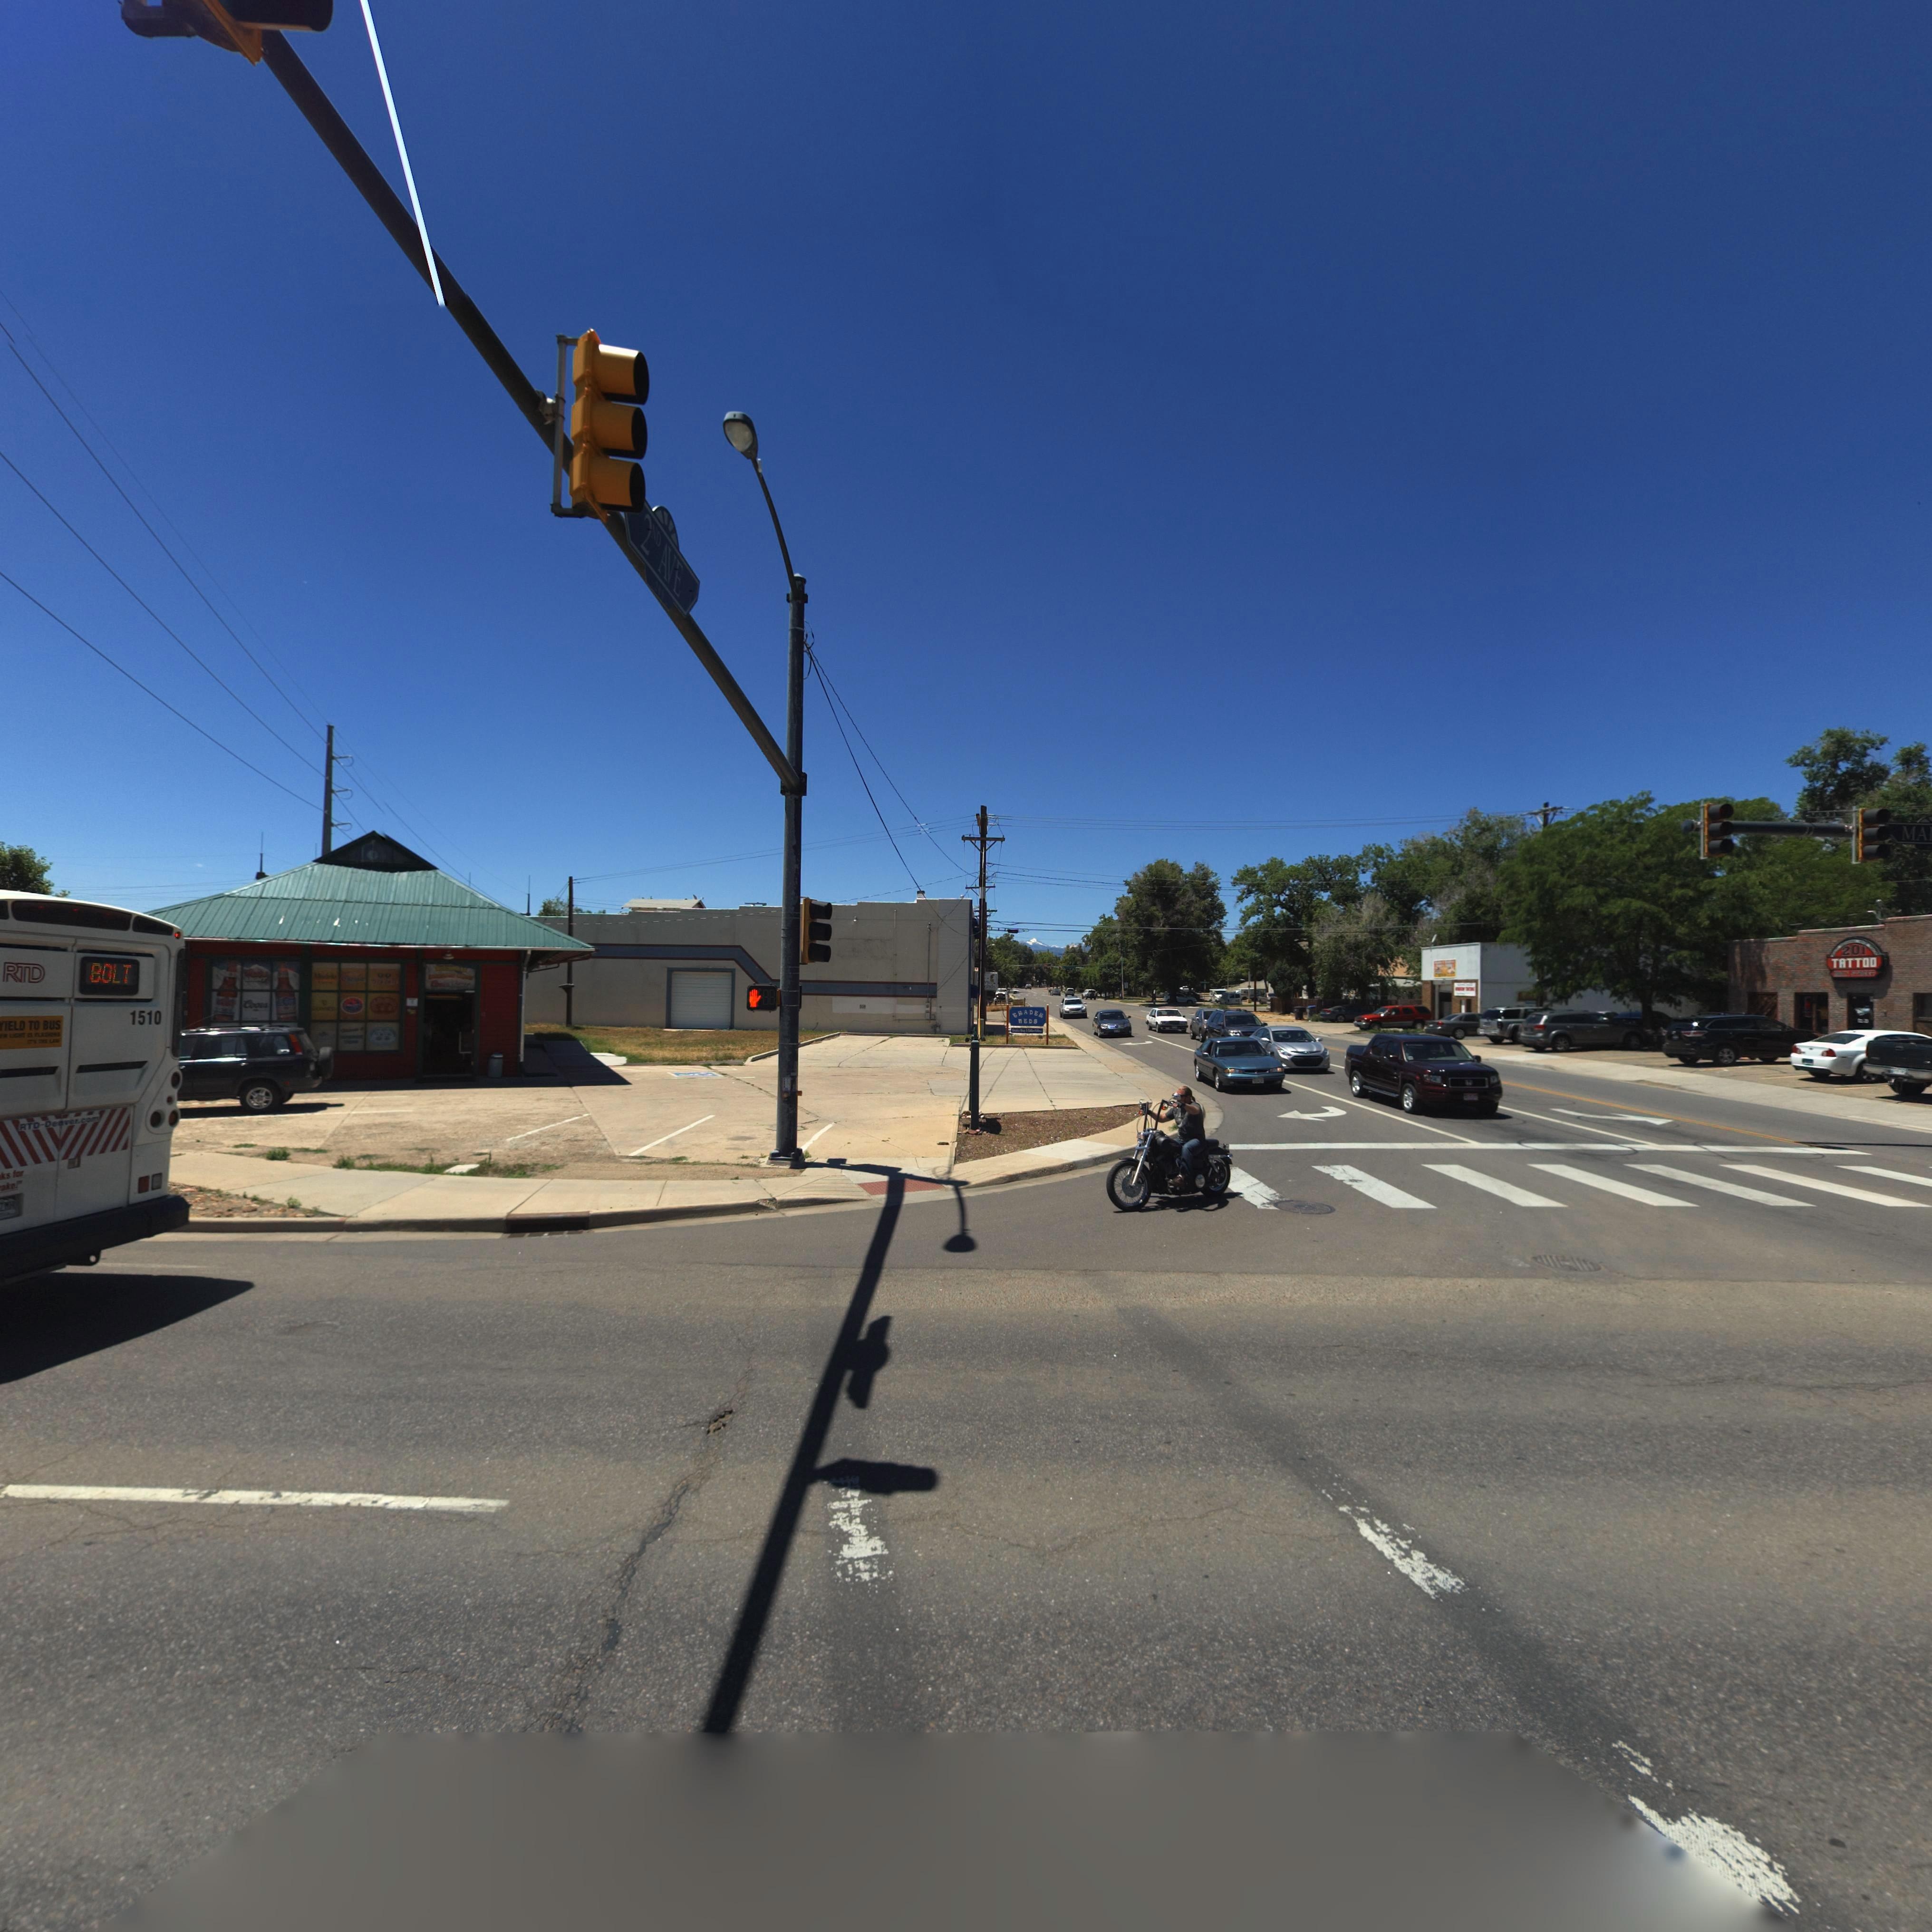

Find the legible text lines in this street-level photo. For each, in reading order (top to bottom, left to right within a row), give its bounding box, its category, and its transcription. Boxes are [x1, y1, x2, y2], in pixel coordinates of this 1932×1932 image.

[639, 512, 684, 599] StreetName: 2ND AVE
[654, 580, 665, 600] StreetNumberRange: 200
[1842, 944, 1865, 955] StreetNumber: 201
[1831, 957, 1877, 968] BusinessName: TATTOO
[984, 980, 989, 985] BusinessName: vy
[984, 983, 995, 989] BusinessName: onds
[1011, 1009, 1043, 1018] BusinessName: TRADER
[1018, 1018, 1037, 1024] BusinessName: nEDS